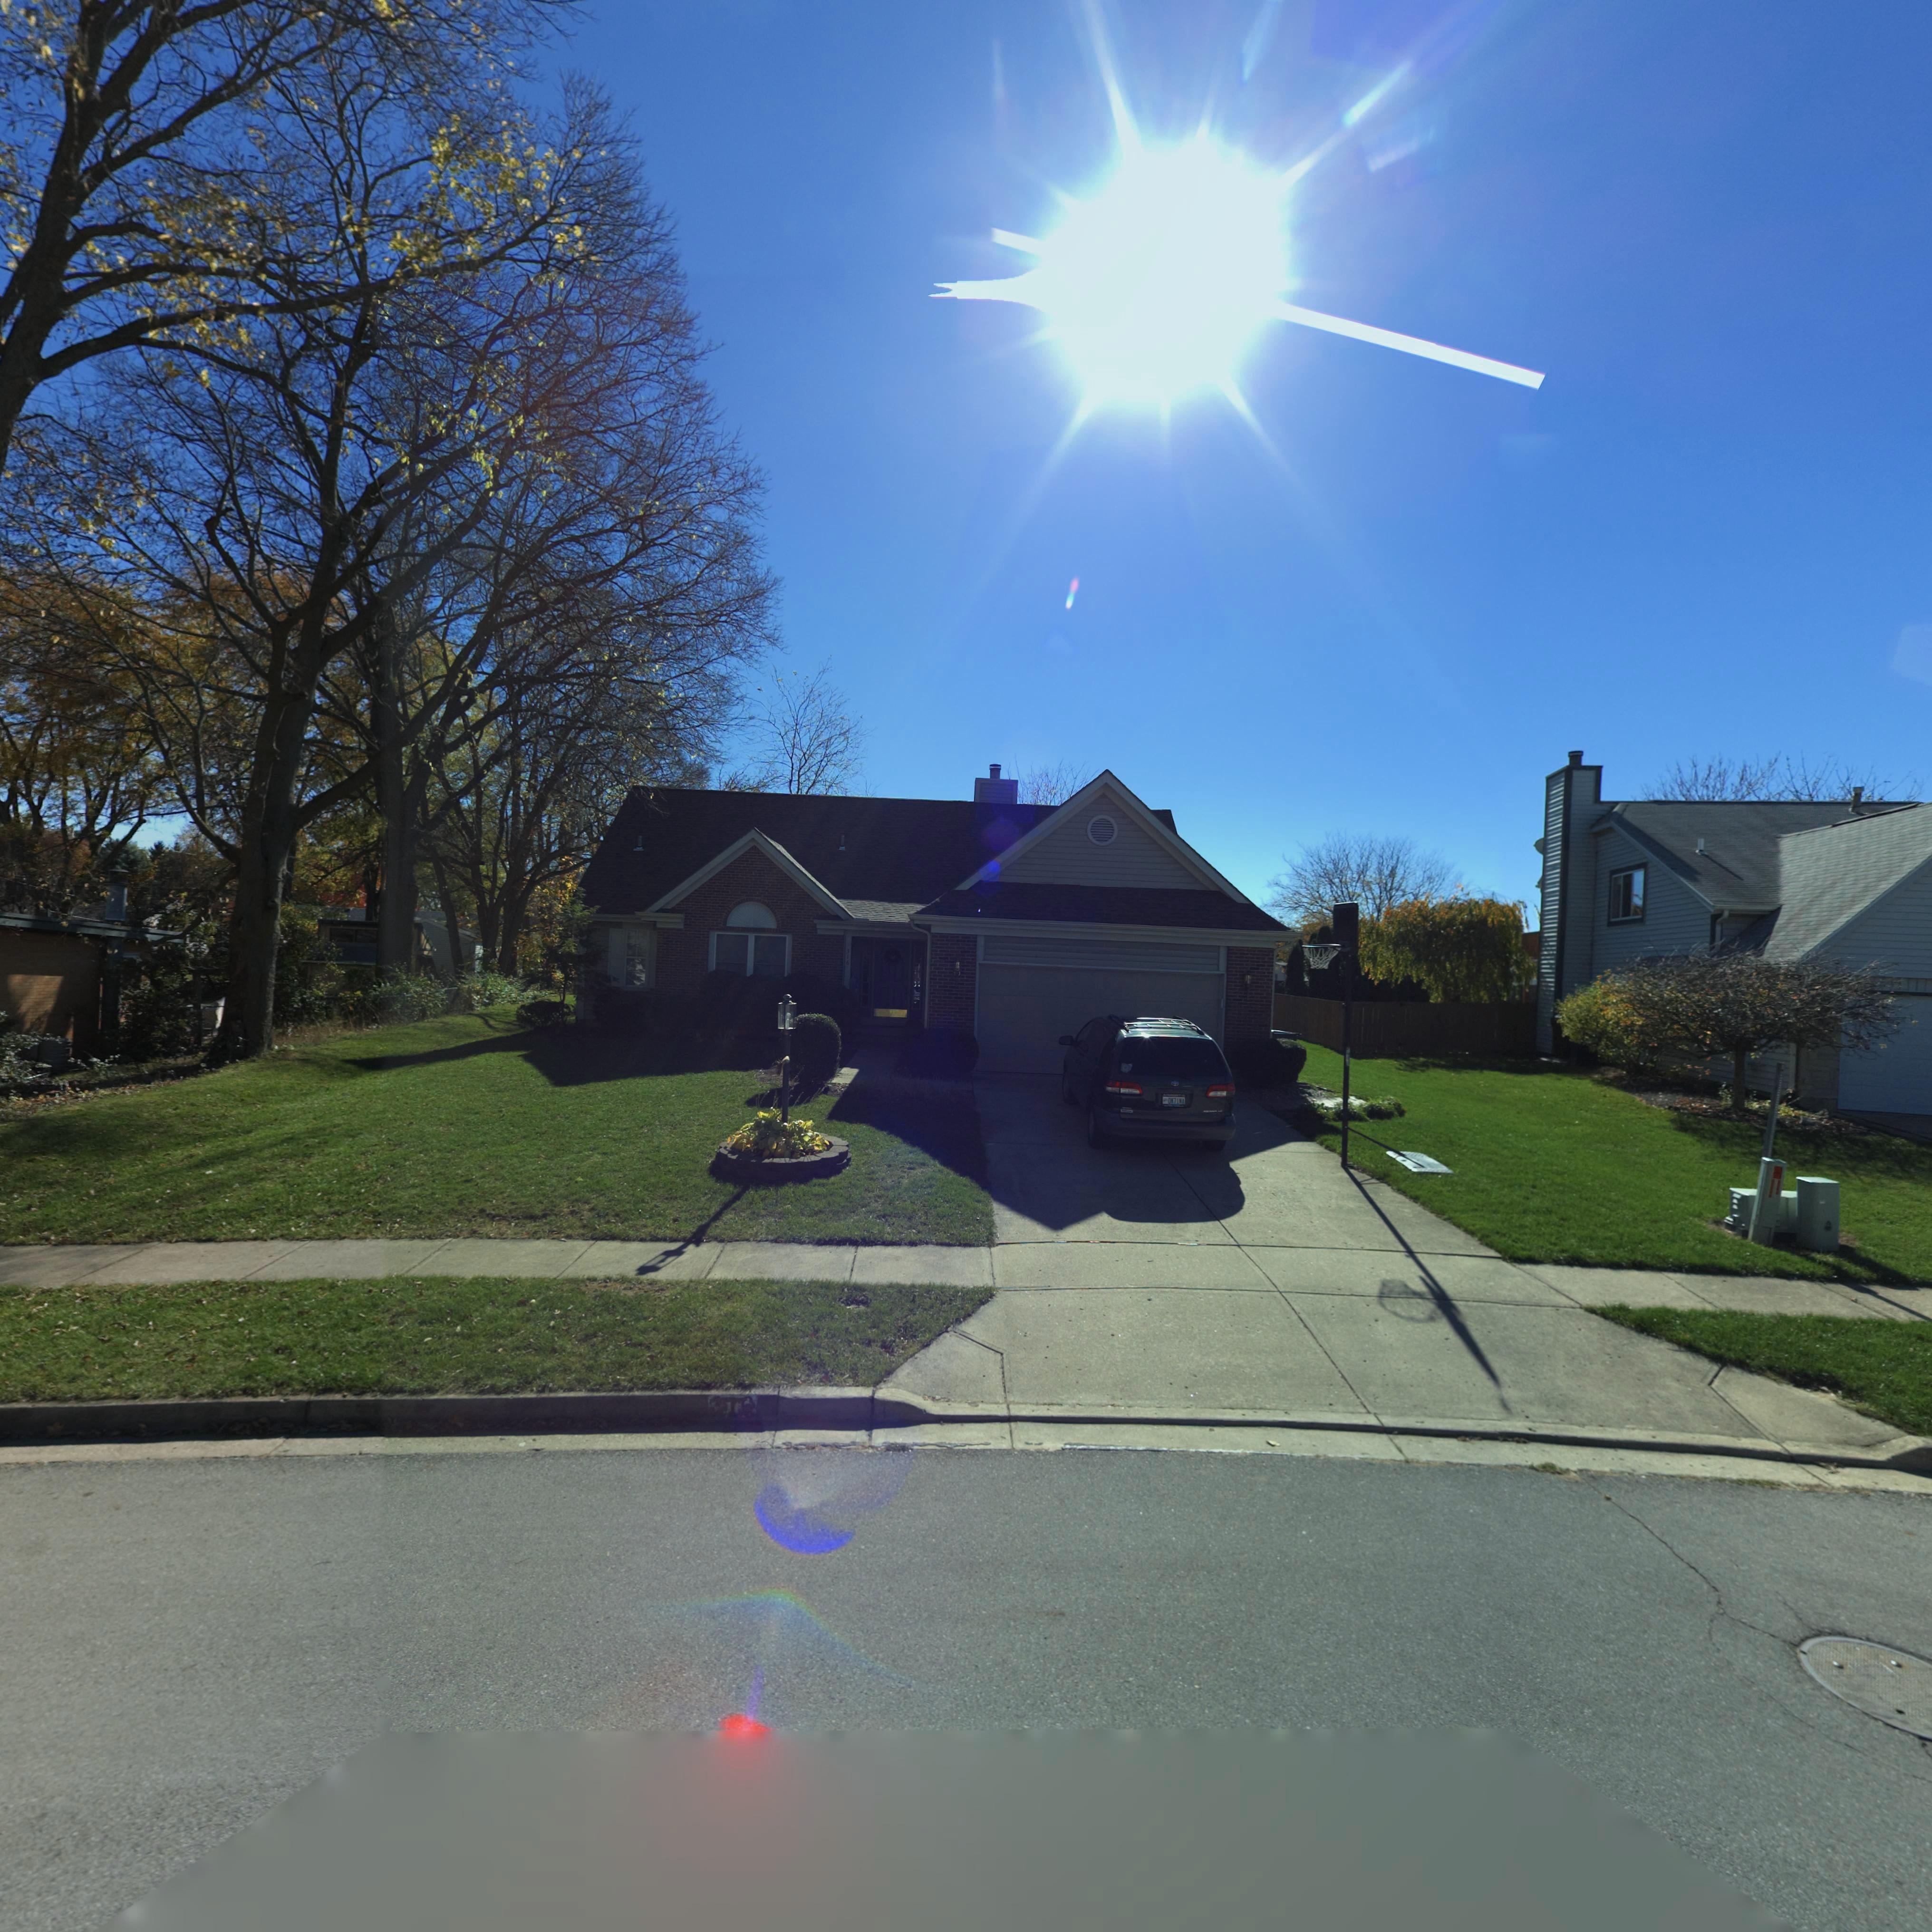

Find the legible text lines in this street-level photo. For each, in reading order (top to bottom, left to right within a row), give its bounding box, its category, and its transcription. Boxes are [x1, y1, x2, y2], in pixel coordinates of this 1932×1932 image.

[845, 948, 850, 966] StreetNumber: 316